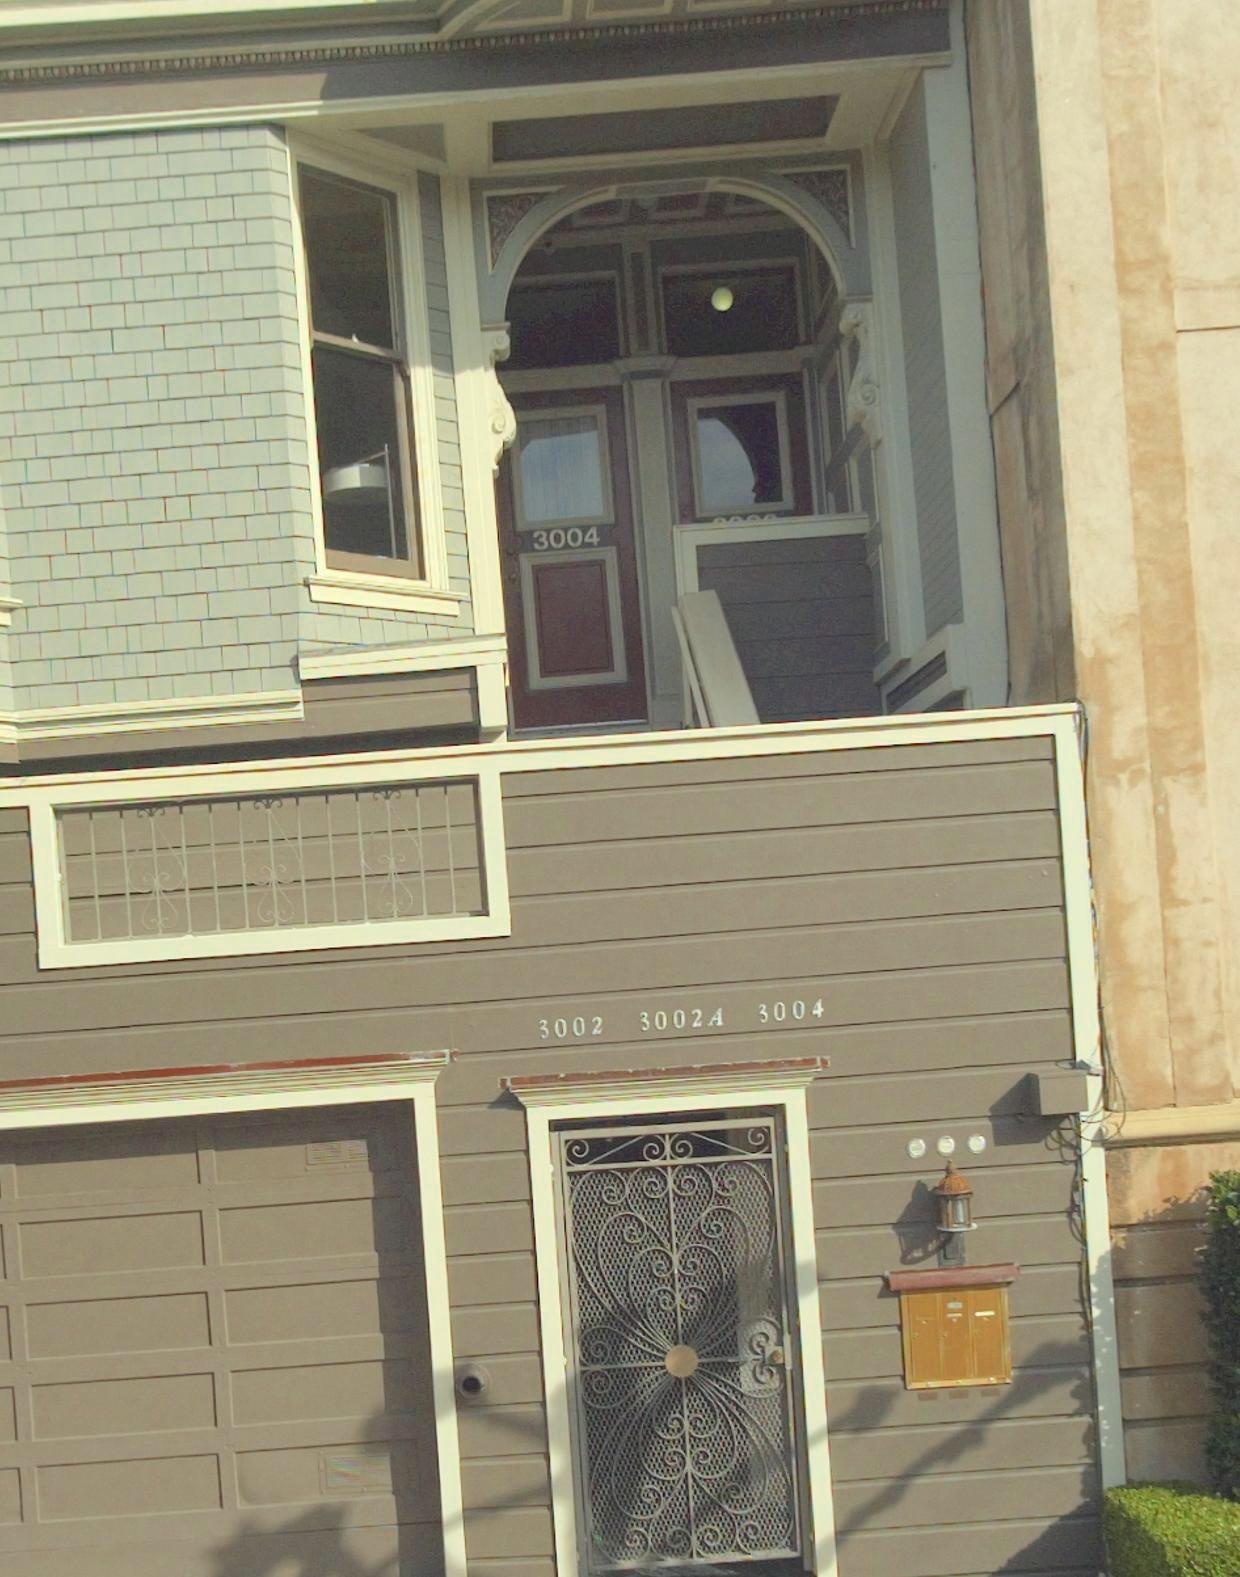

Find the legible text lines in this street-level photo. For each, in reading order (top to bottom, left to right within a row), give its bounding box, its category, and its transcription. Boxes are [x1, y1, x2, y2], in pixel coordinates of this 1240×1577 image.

[530, 523, 603, 554] StreetNumber: 3004
[536, 1013, 607, 1042] StreetNumber: 3002
[636, 1006, 706, 1034] StreetNumber: 3002
[705, 1001, 727, 1030] StreetNumber: A
[754, 995, 829, 1027] StreetNumber: 3004